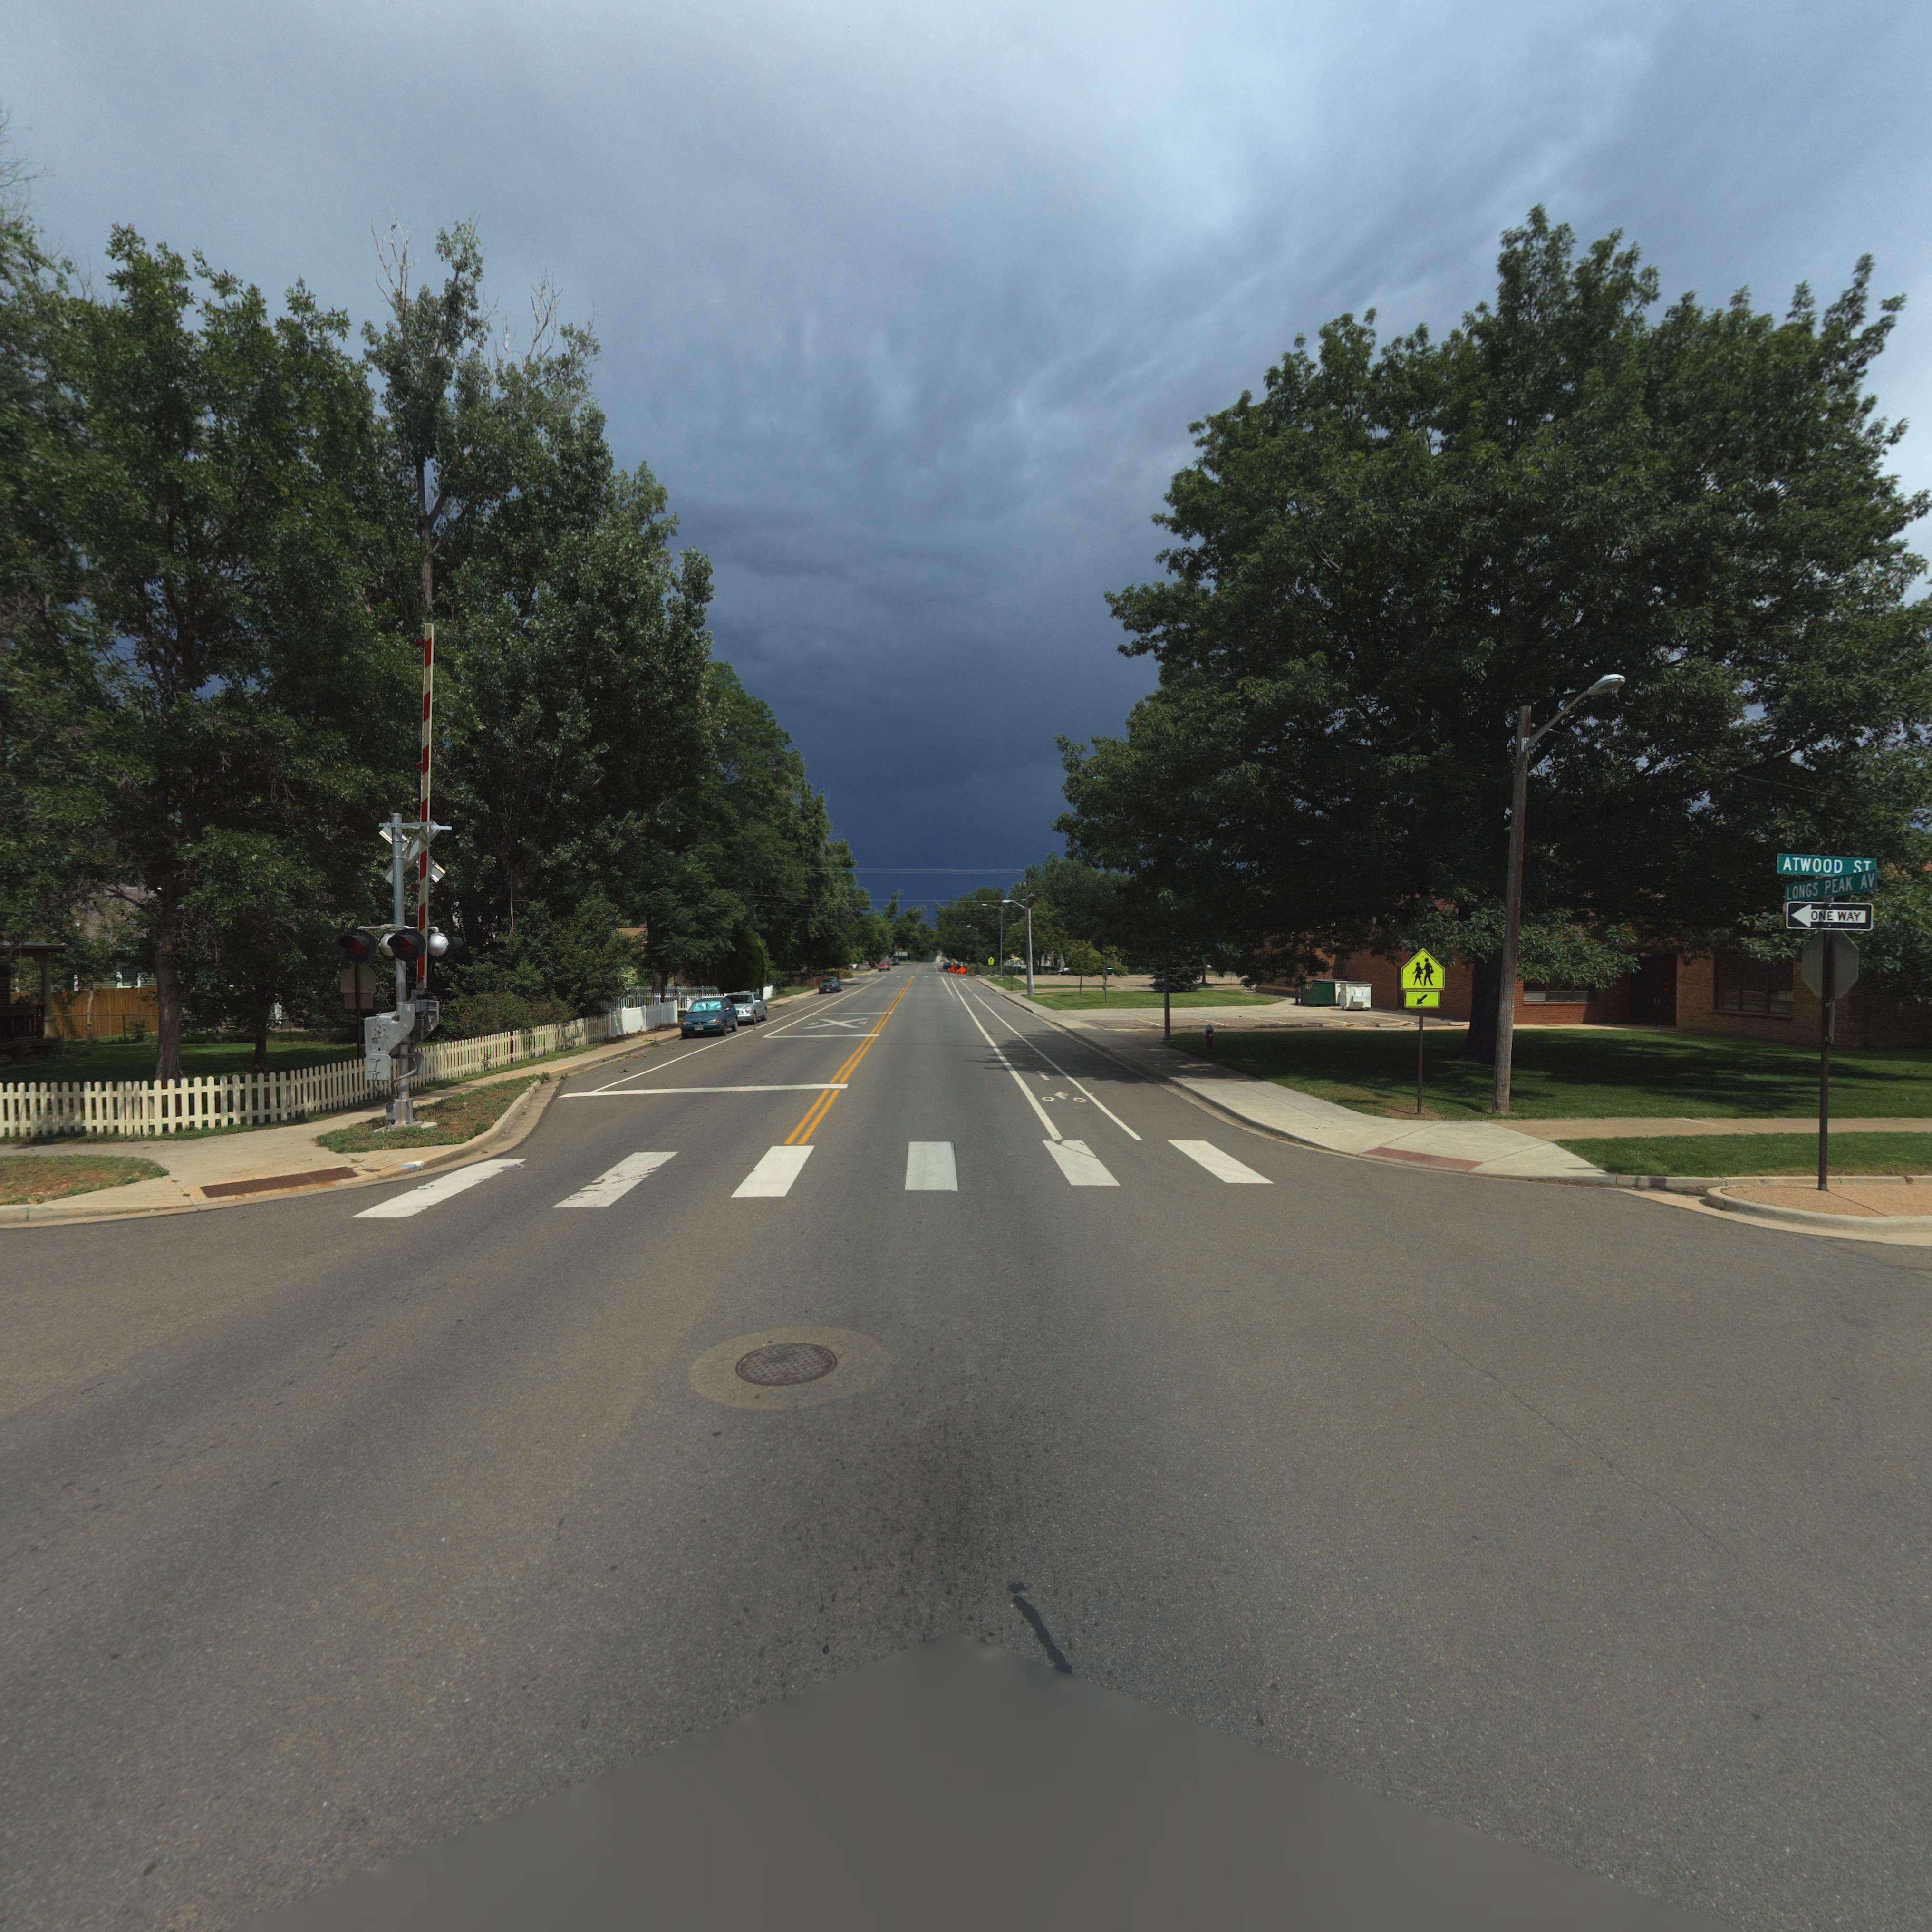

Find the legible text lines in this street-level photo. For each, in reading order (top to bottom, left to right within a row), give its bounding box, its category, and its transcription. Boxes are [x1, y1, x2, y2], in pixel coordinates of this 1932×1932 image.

[1779, 855, 1873, 874] StreetName: ATWOOD ST
[1785, 871, 1876, 902] StreetName: LONGS PEAK AV